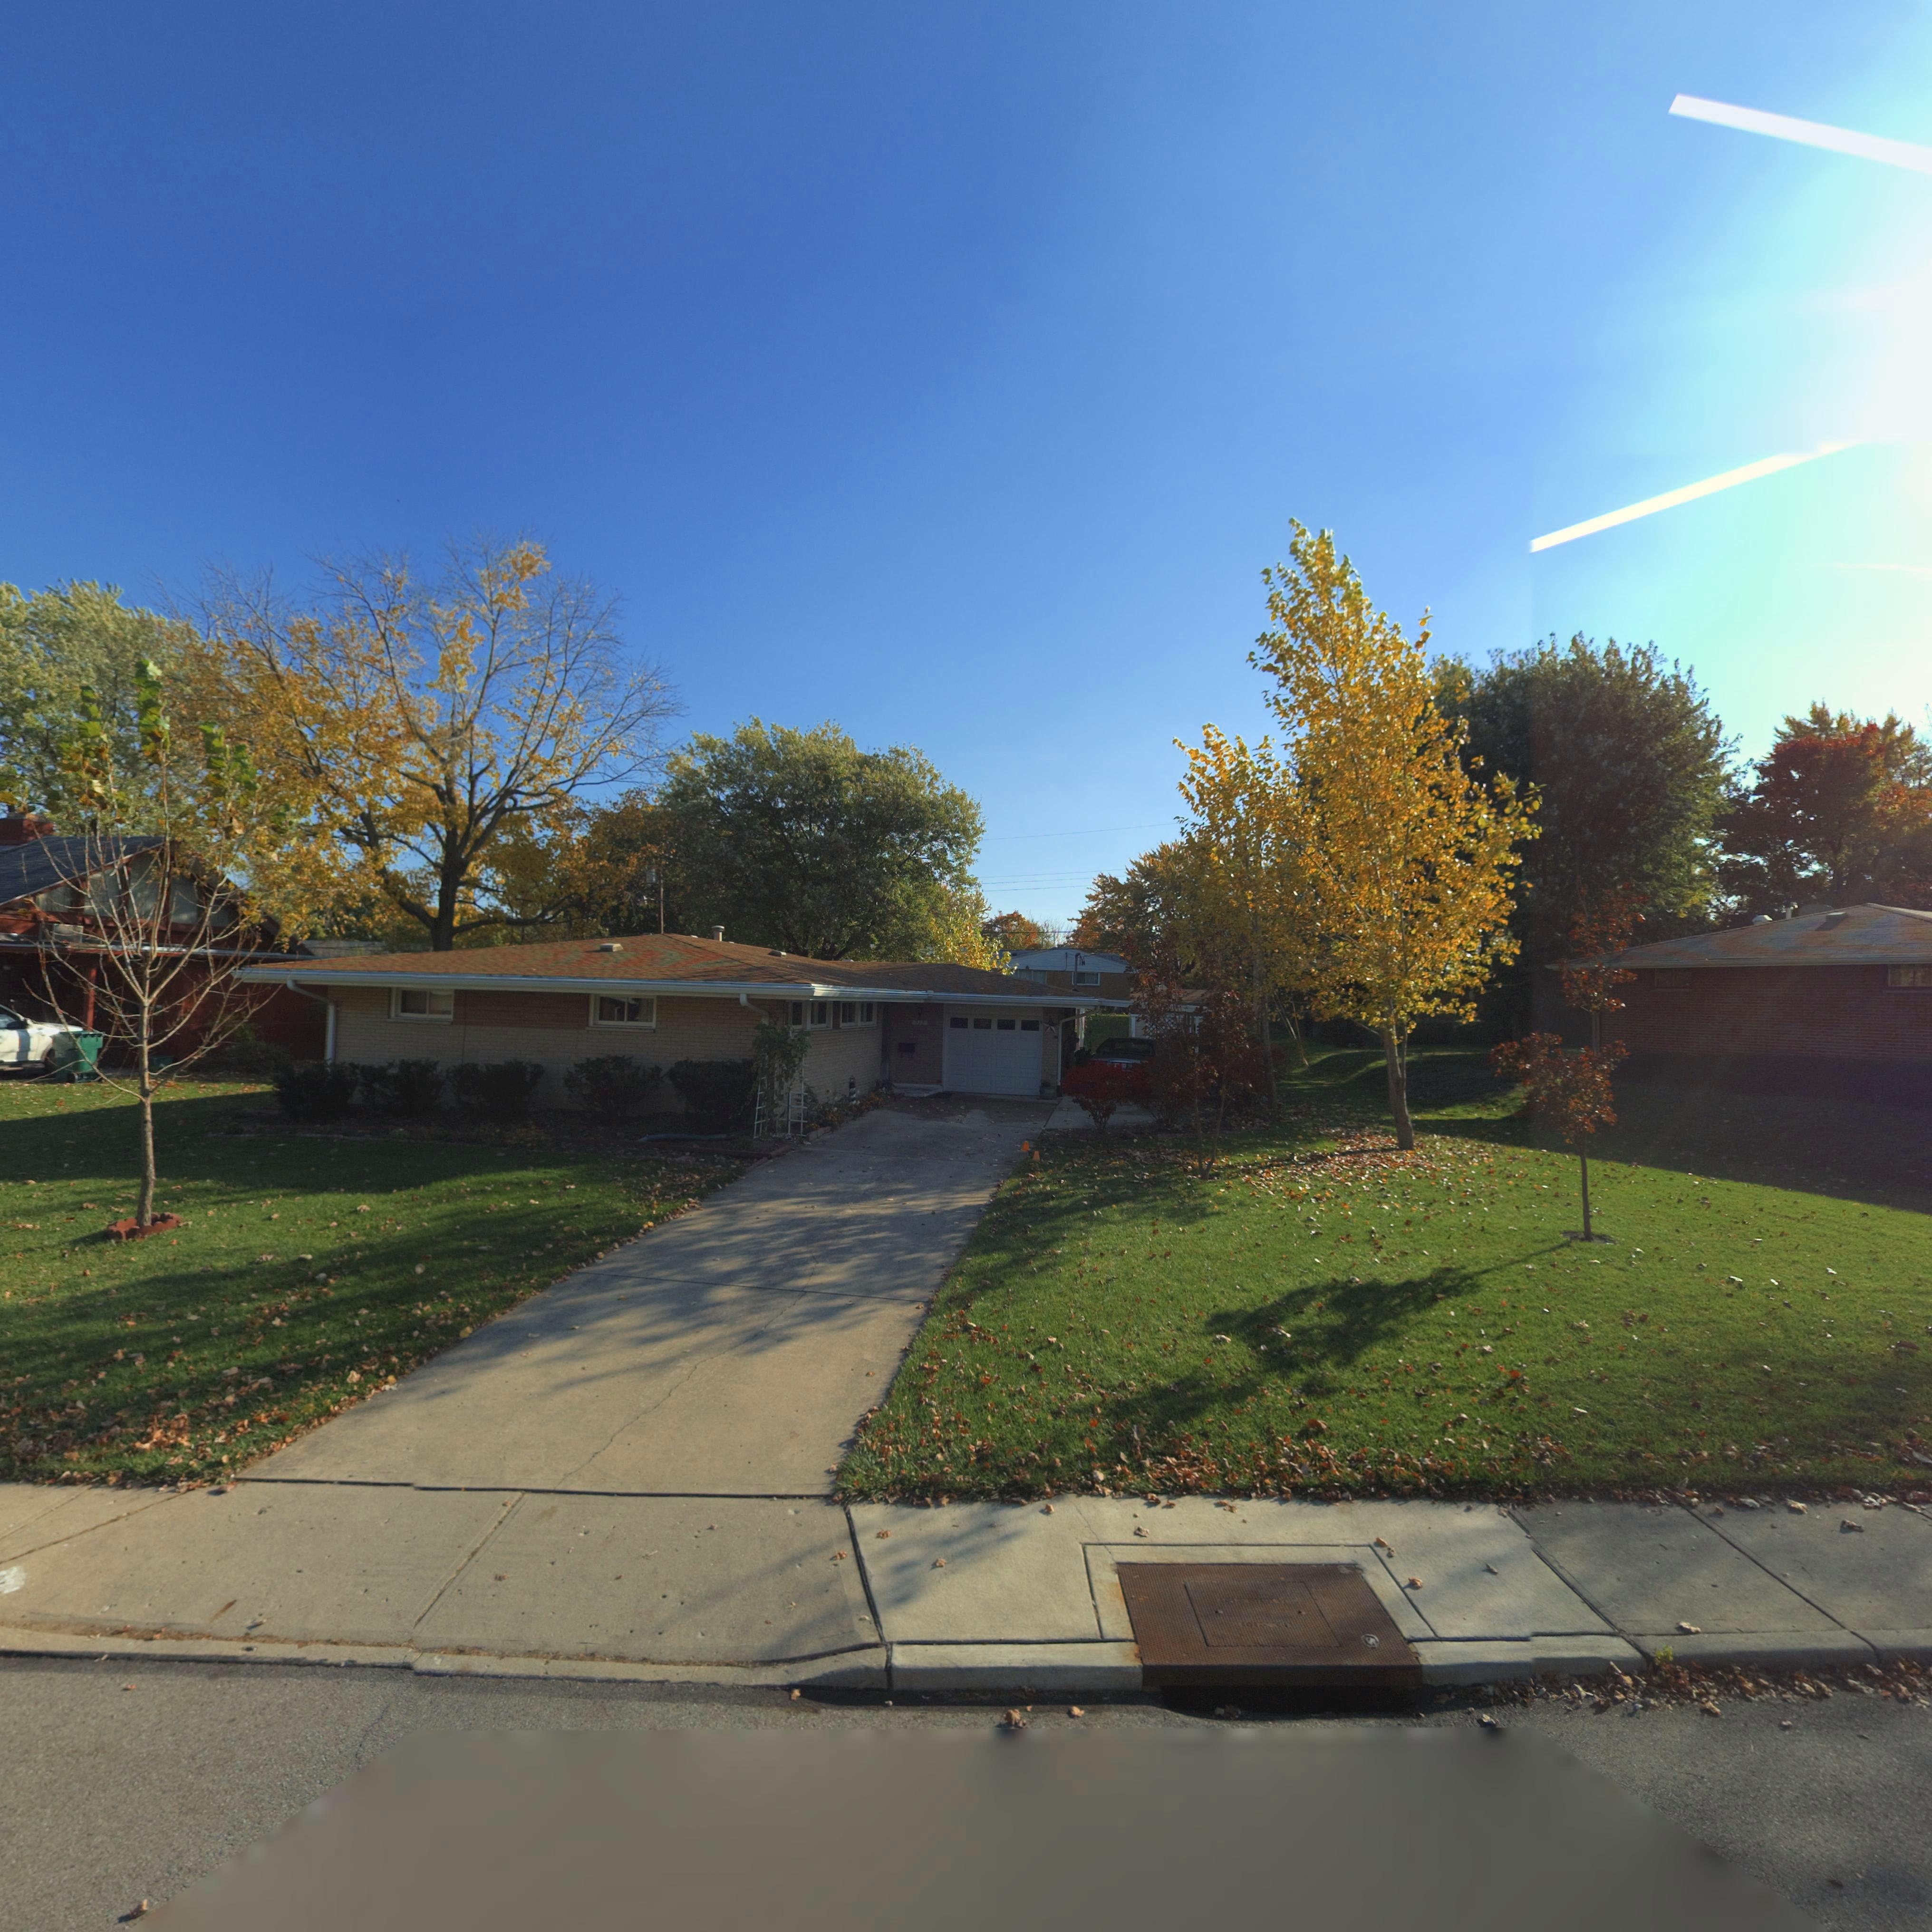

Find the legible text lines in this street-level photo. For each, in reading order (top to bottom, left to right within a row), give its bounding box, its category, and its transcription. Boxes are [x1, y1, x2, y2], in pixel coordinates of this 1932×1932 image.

[915, 1019, 925, 1026] StreetNumber: *1*